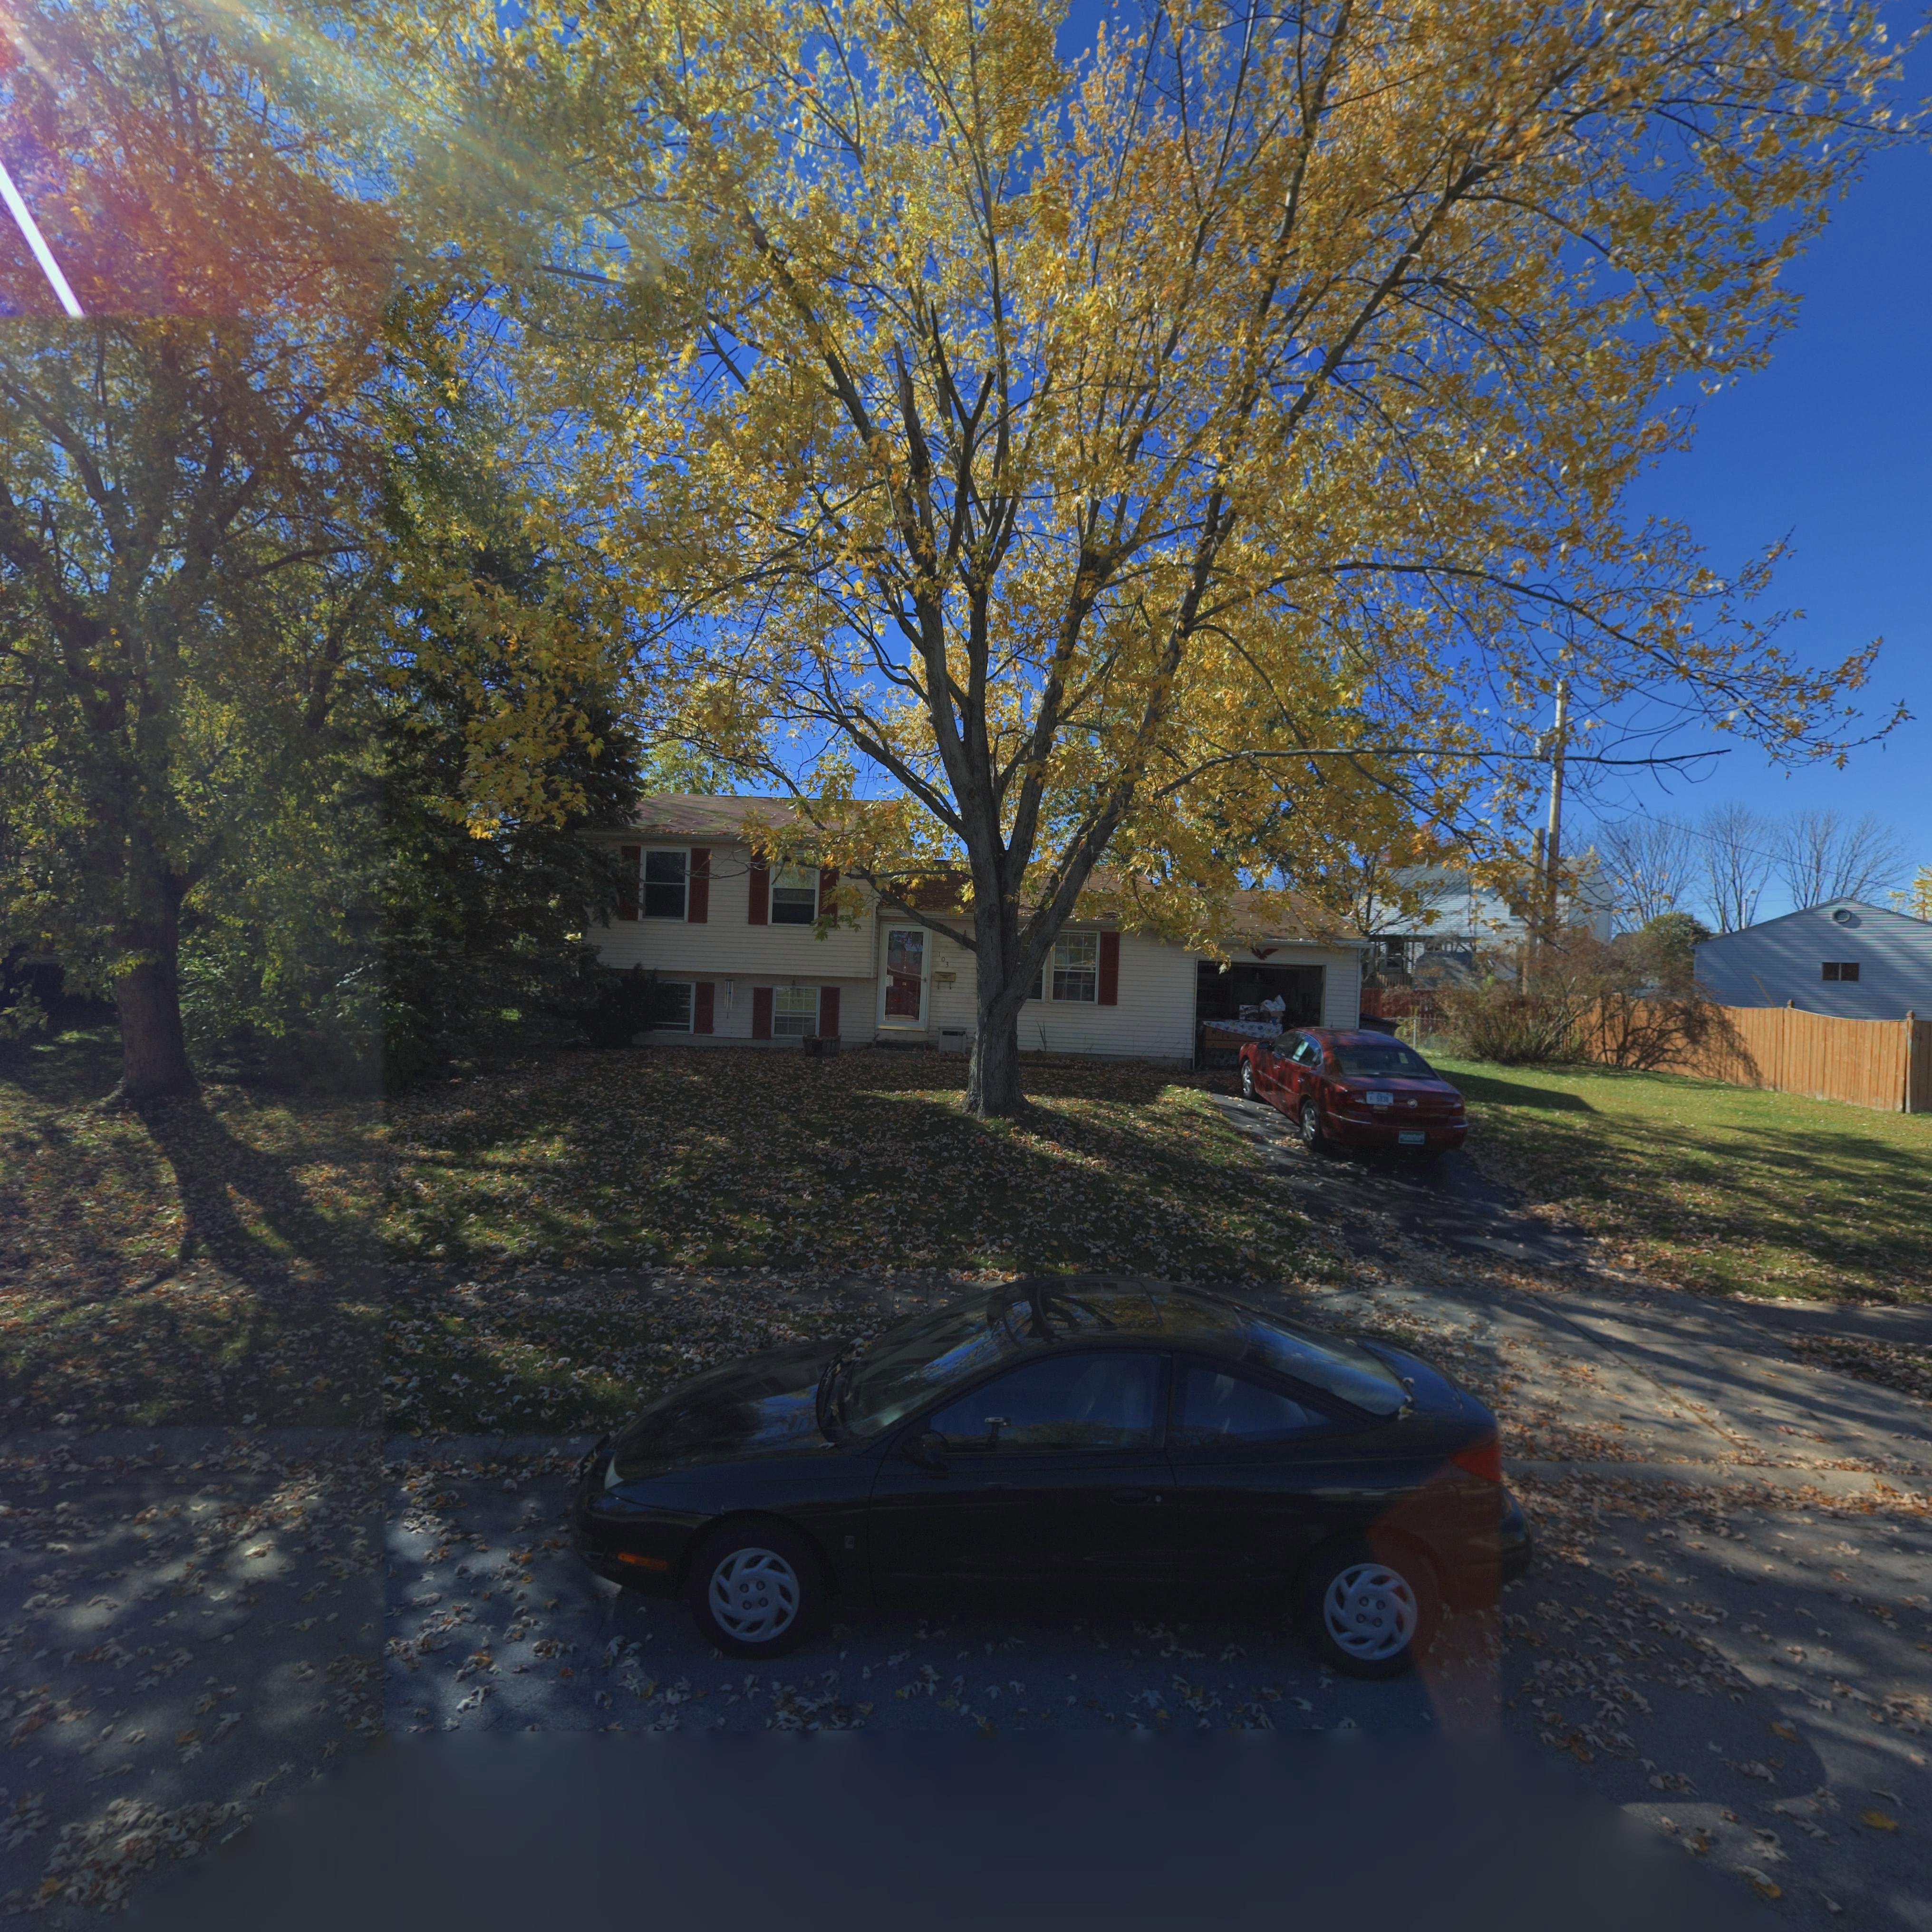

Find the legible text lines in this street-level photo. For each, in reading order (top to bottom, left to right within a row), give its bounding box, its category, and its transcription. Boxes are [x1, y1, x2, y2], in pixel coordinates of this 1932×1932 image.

[937, 950, 950, 968] StreetNumber: 103